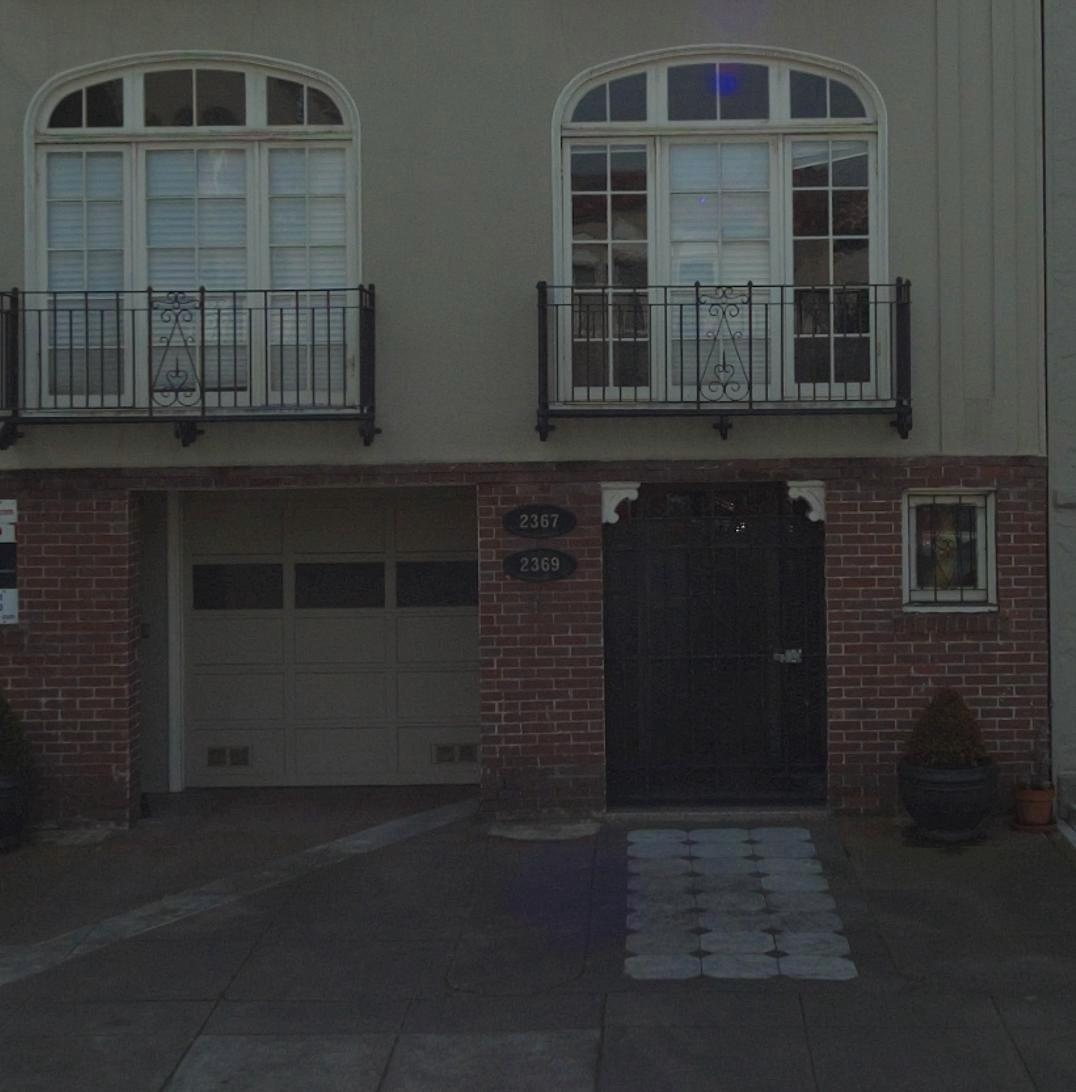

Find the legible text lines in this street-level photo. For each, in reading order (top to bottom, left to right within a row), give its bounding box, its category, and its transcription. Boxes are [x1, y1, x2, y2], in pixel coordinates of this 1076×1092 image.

[518, 512, 560, 530] StreetNumber: 2367
[518, 555, 562, 574] StreetNumber: 2369